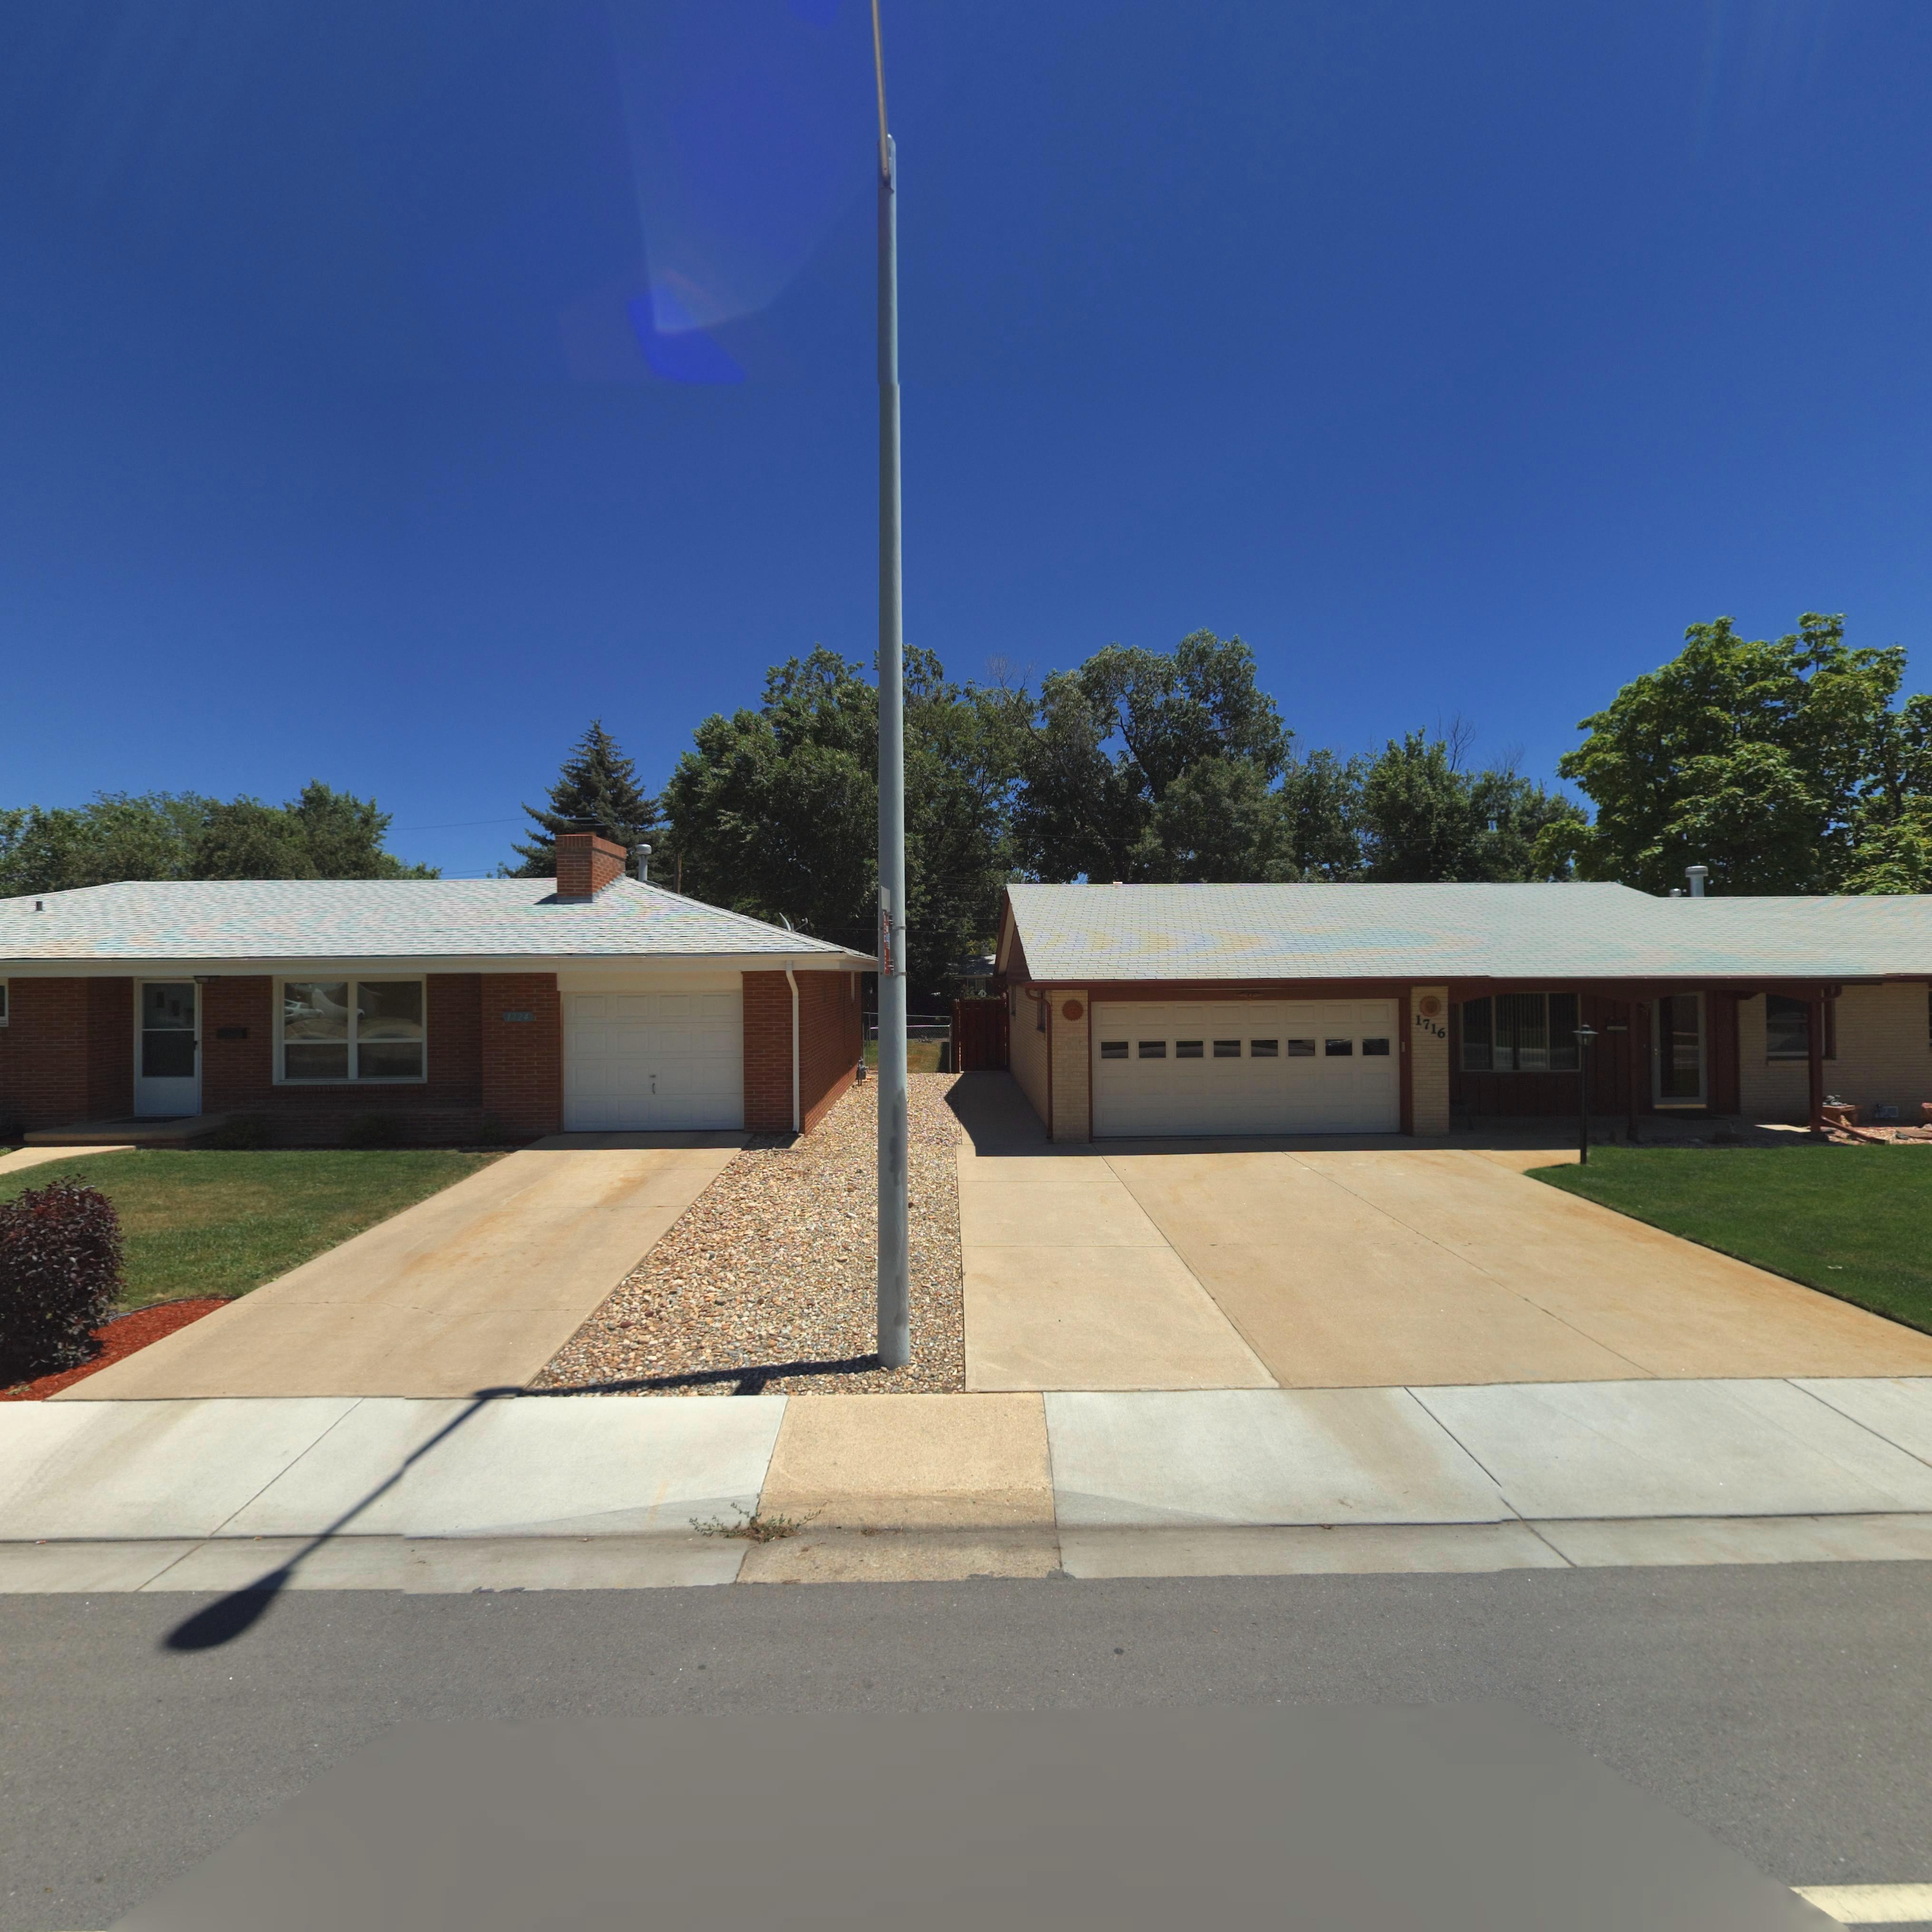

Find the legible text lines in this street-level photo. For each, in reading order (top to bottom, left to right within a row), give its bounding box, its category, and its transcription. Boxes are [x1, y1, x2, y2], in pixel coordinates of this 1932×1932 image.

[506, 1012, 528, 1020] StreetNumber: 1724
[1415, 1014, 1446, 1038] StreetNumber: 1716